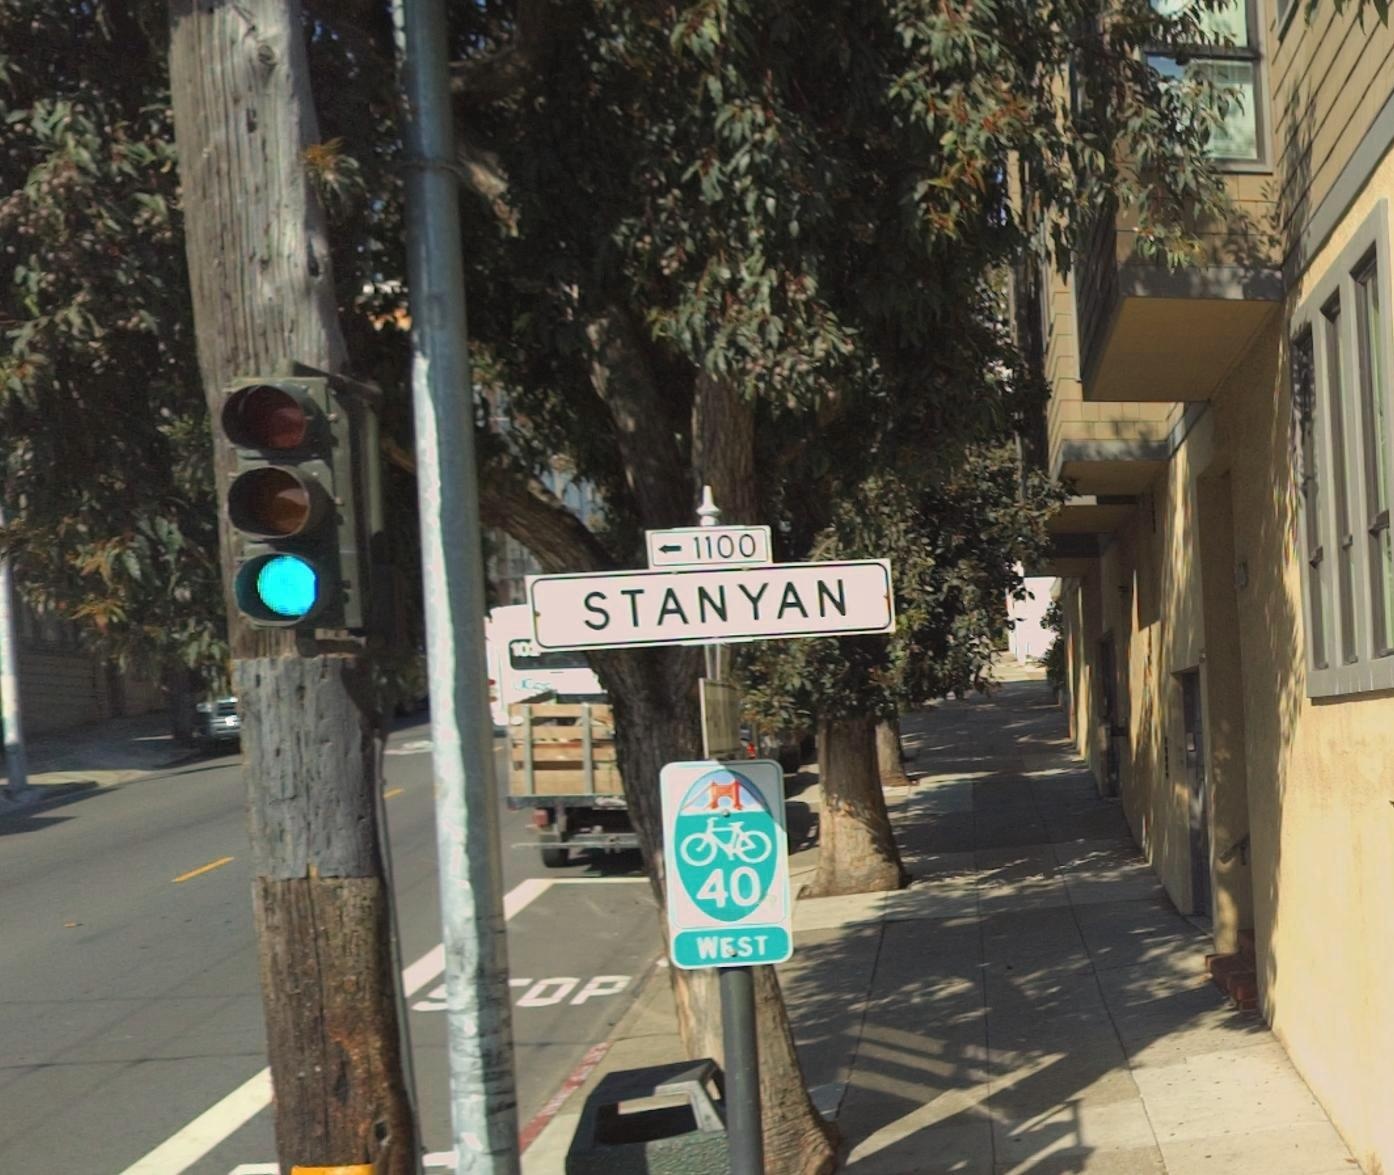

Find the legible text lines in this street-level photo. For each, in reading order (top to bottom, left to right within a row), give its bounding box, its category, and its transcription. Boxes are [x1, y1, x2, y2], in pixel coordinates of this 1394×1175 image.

[651, 529, 763, 566] StreetNumberRange: <-1100
[576, 573, 852, 636] StreetName: STANYAN
[692, 864, 765, 913] None: 40
[694, 932, 770, 960] None: WEST
[408, 973, 640, 1013] None: **OP